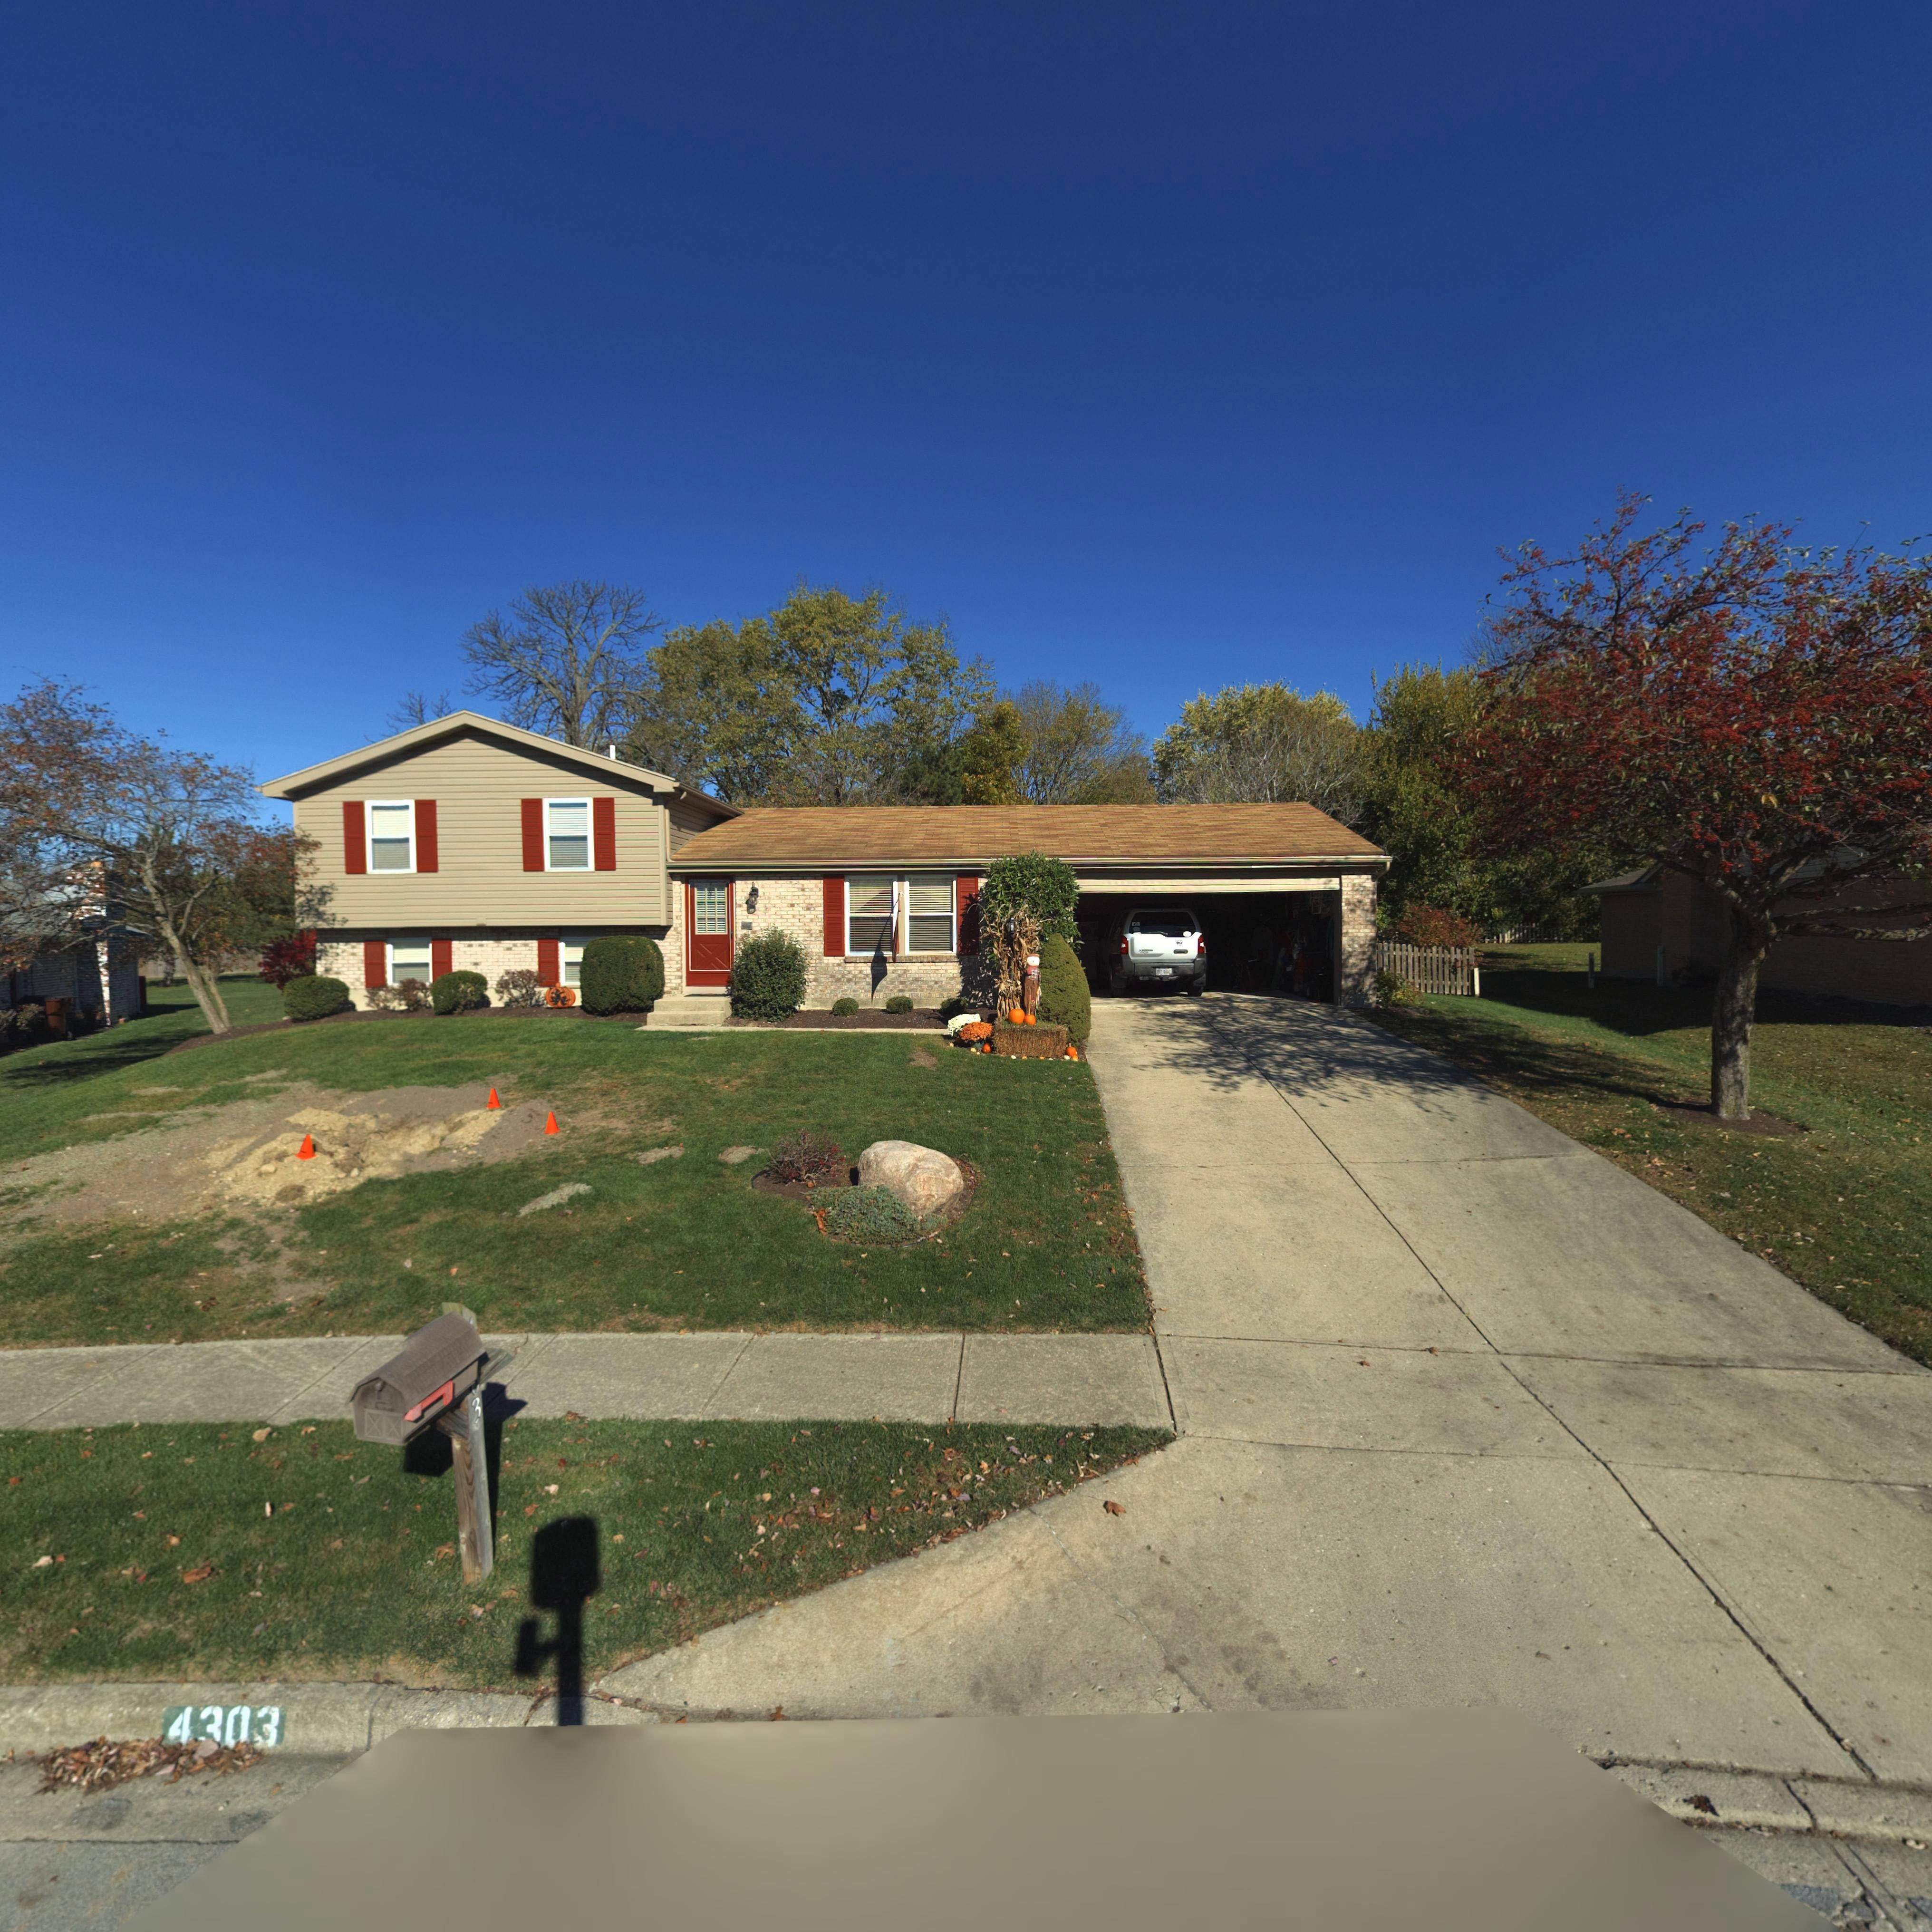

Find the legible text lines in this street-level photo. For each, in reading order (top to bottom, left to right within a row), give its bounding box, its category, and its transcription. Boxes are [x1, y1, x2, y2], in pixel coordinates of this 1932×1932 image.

[470, 1395, 482, 1426] StreetNumber: 3
[167, 1704, 281, 1750] StreetNumber: 4303